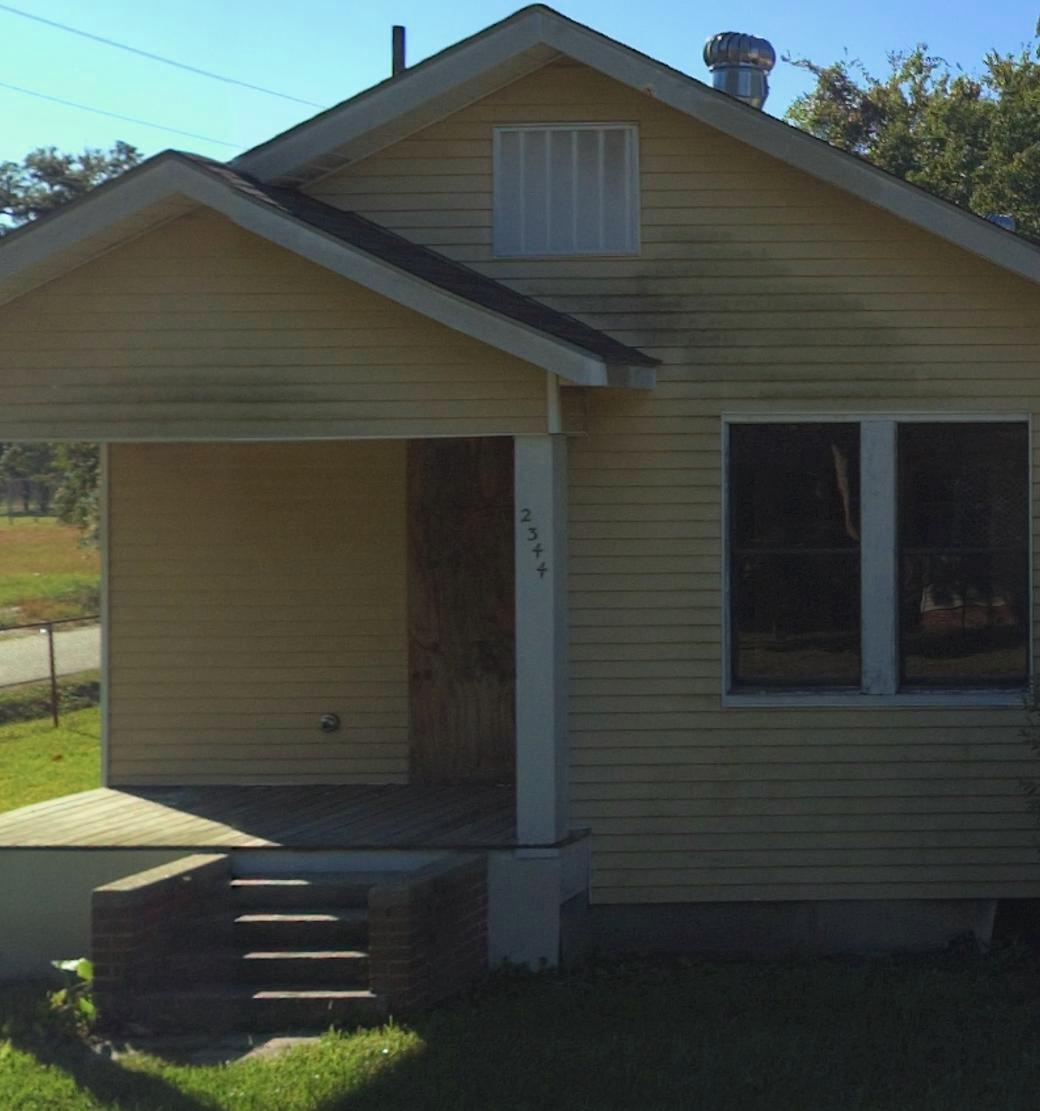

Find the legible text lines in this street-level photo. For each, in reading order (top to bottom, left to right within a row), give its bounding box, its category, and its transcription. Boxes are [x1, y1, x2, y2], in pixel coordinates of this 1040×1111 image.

[518, 506, 551, 582] StreetNumber: 2344